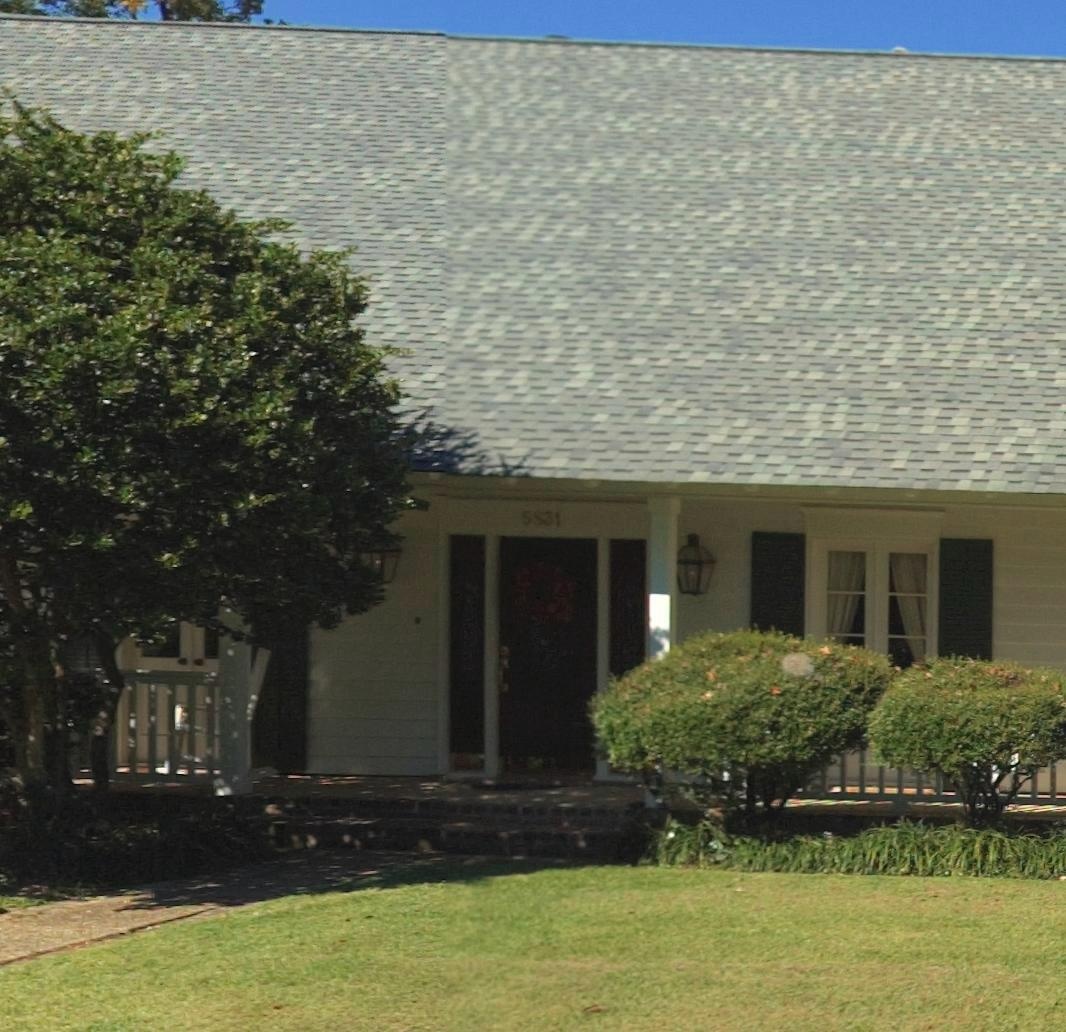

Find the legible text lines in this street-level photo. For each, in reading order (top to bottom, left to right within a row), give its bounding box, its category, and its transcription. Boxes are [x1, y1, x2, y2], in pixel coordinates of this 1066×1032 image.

[518, 507, 564, 529] StreetNumber: 5831